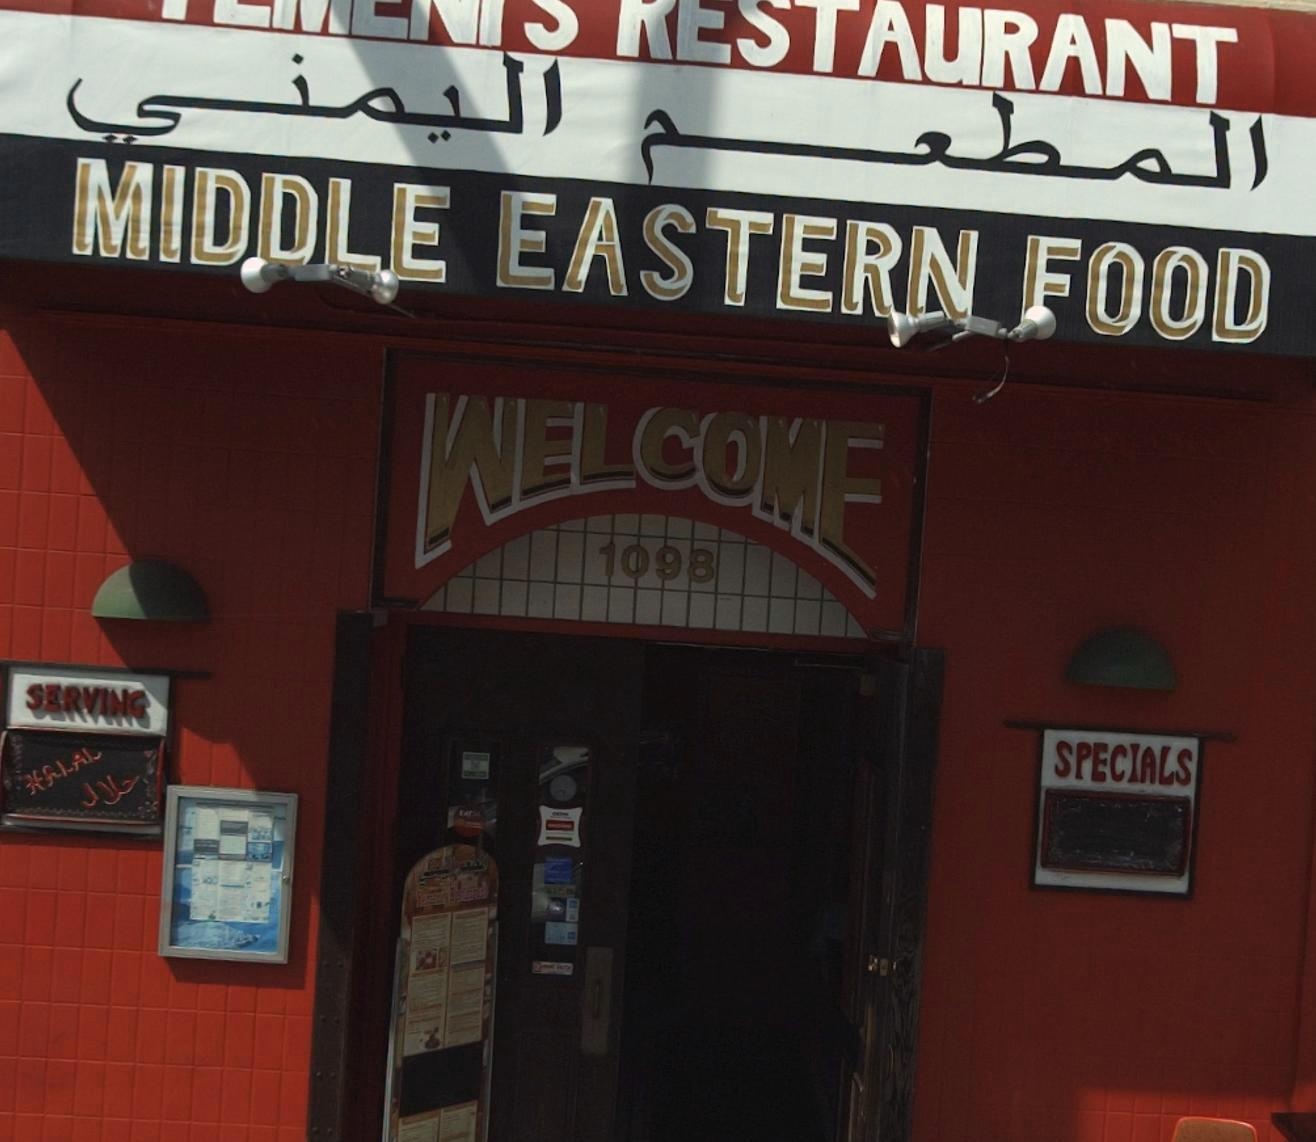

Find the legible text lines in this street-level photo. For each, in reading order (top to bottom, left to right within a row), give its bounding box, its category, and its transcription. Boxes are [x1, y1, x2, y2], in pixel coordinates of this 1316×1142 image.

[851, 1, 1241, 109] BusinessName: AURANT
[61, 152, 1279, 349] None: MIDDLE EASTERN FOOD
[416, 385, 888, 611] None: WELCOME
[595, 539, 716, 585] StreetNumber: 1098
[23, 682, 147, 719] None: SERVING
[1052, 740, 1194, 788] None: SPECIALS